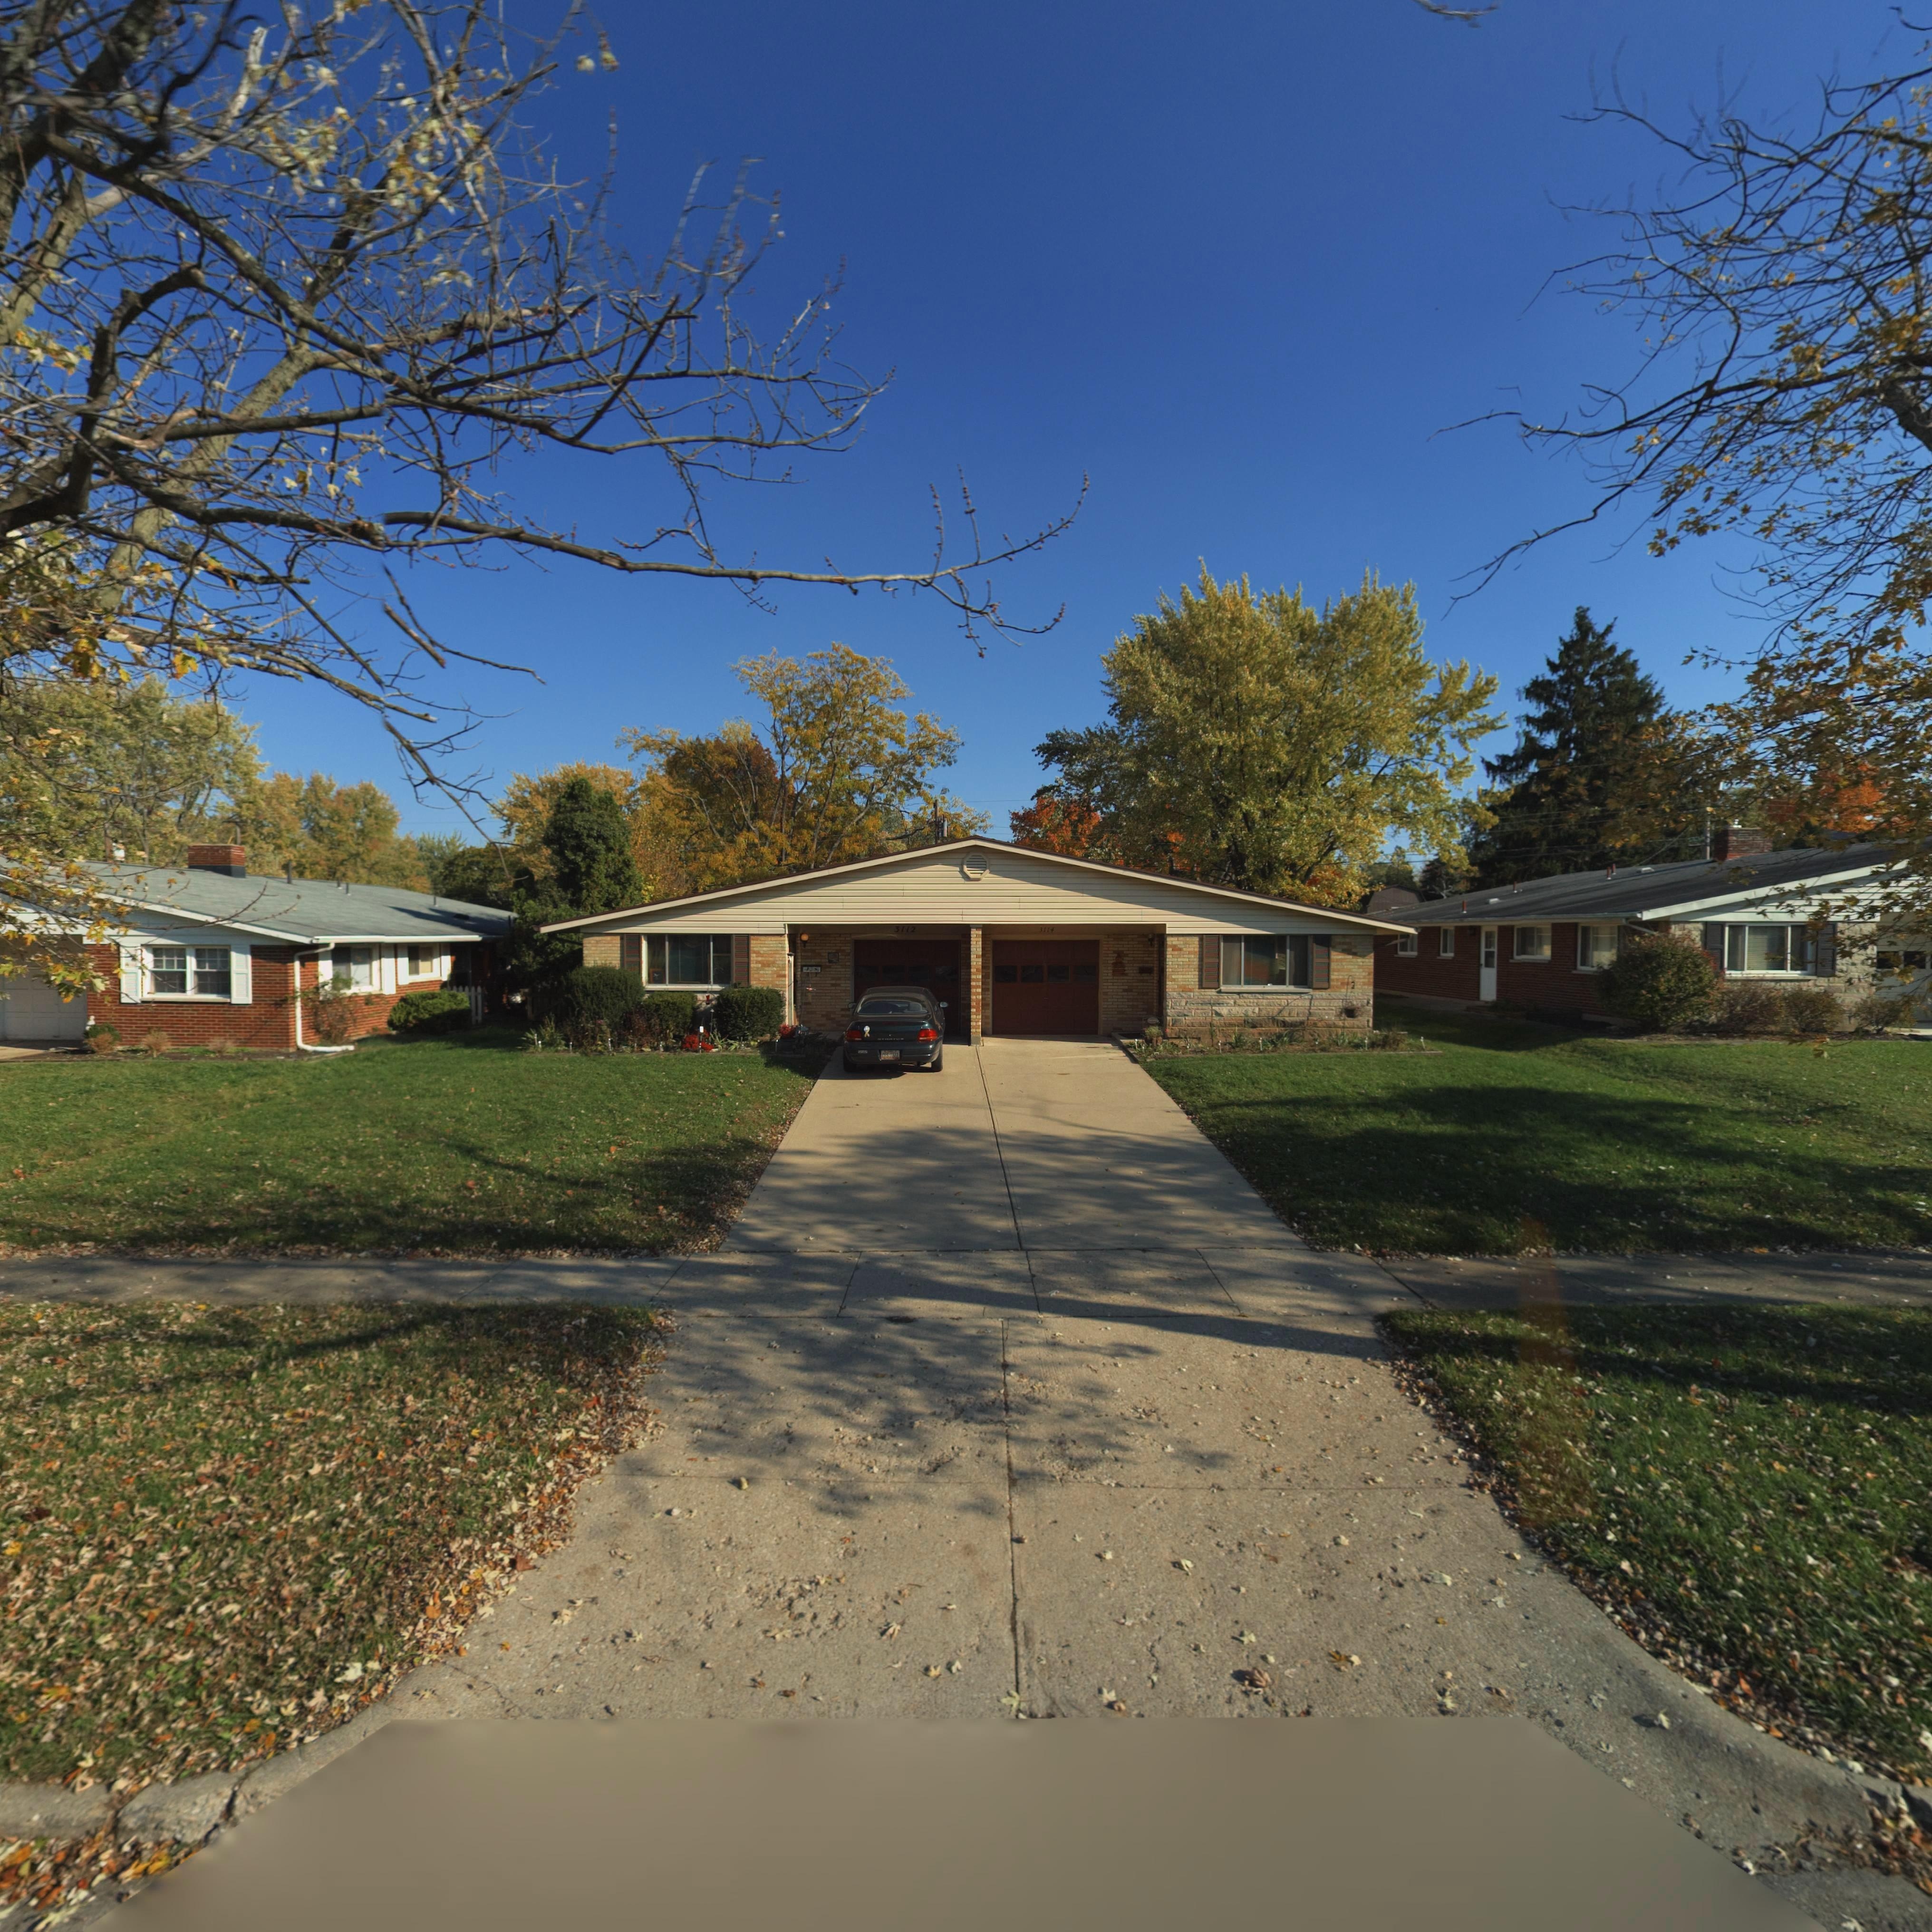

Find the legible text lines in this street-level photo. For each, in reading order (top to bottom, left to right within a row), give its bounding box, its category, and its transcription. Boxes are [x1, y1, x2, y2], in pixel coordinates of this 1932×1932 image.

[894, 925, 915, 932] StreetNumber: 3112
[1038, 927, 1055, 933] StreetNumber: 3114